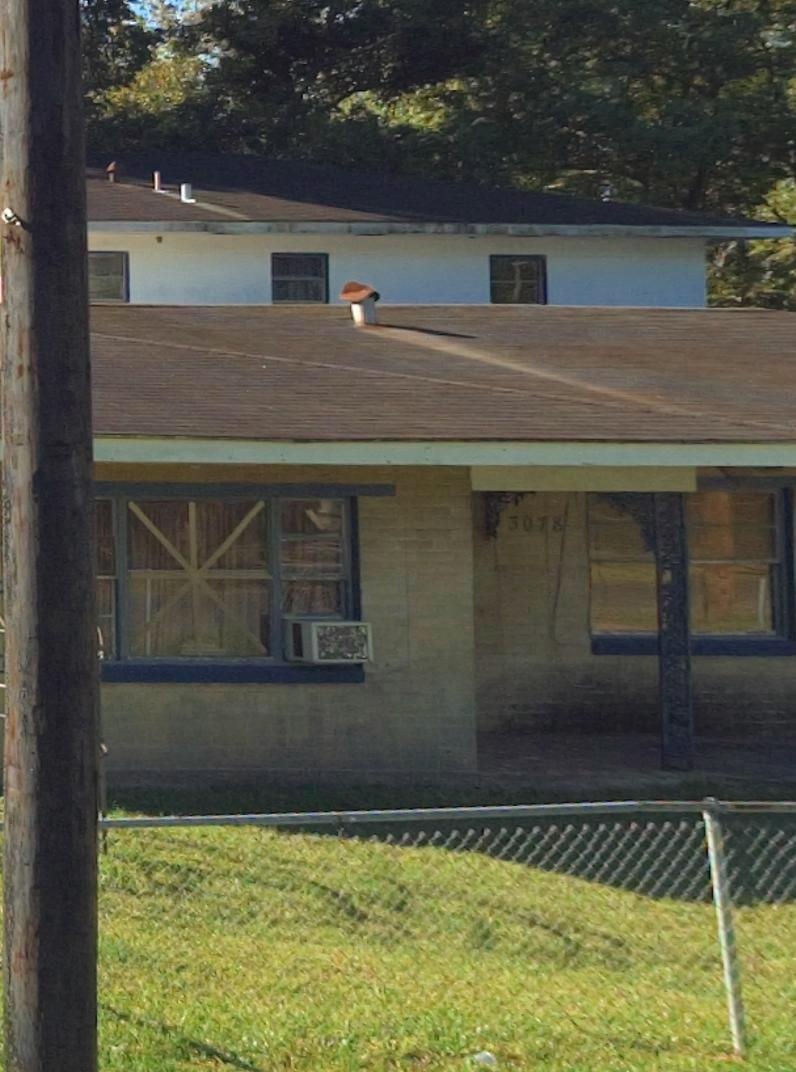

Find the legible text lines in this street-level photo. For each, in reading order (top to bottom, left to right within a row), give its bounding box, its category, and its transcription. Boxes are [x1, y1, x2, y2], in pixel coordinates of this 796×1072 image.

[505, 511, 565, 536] StreetNumber: 3078